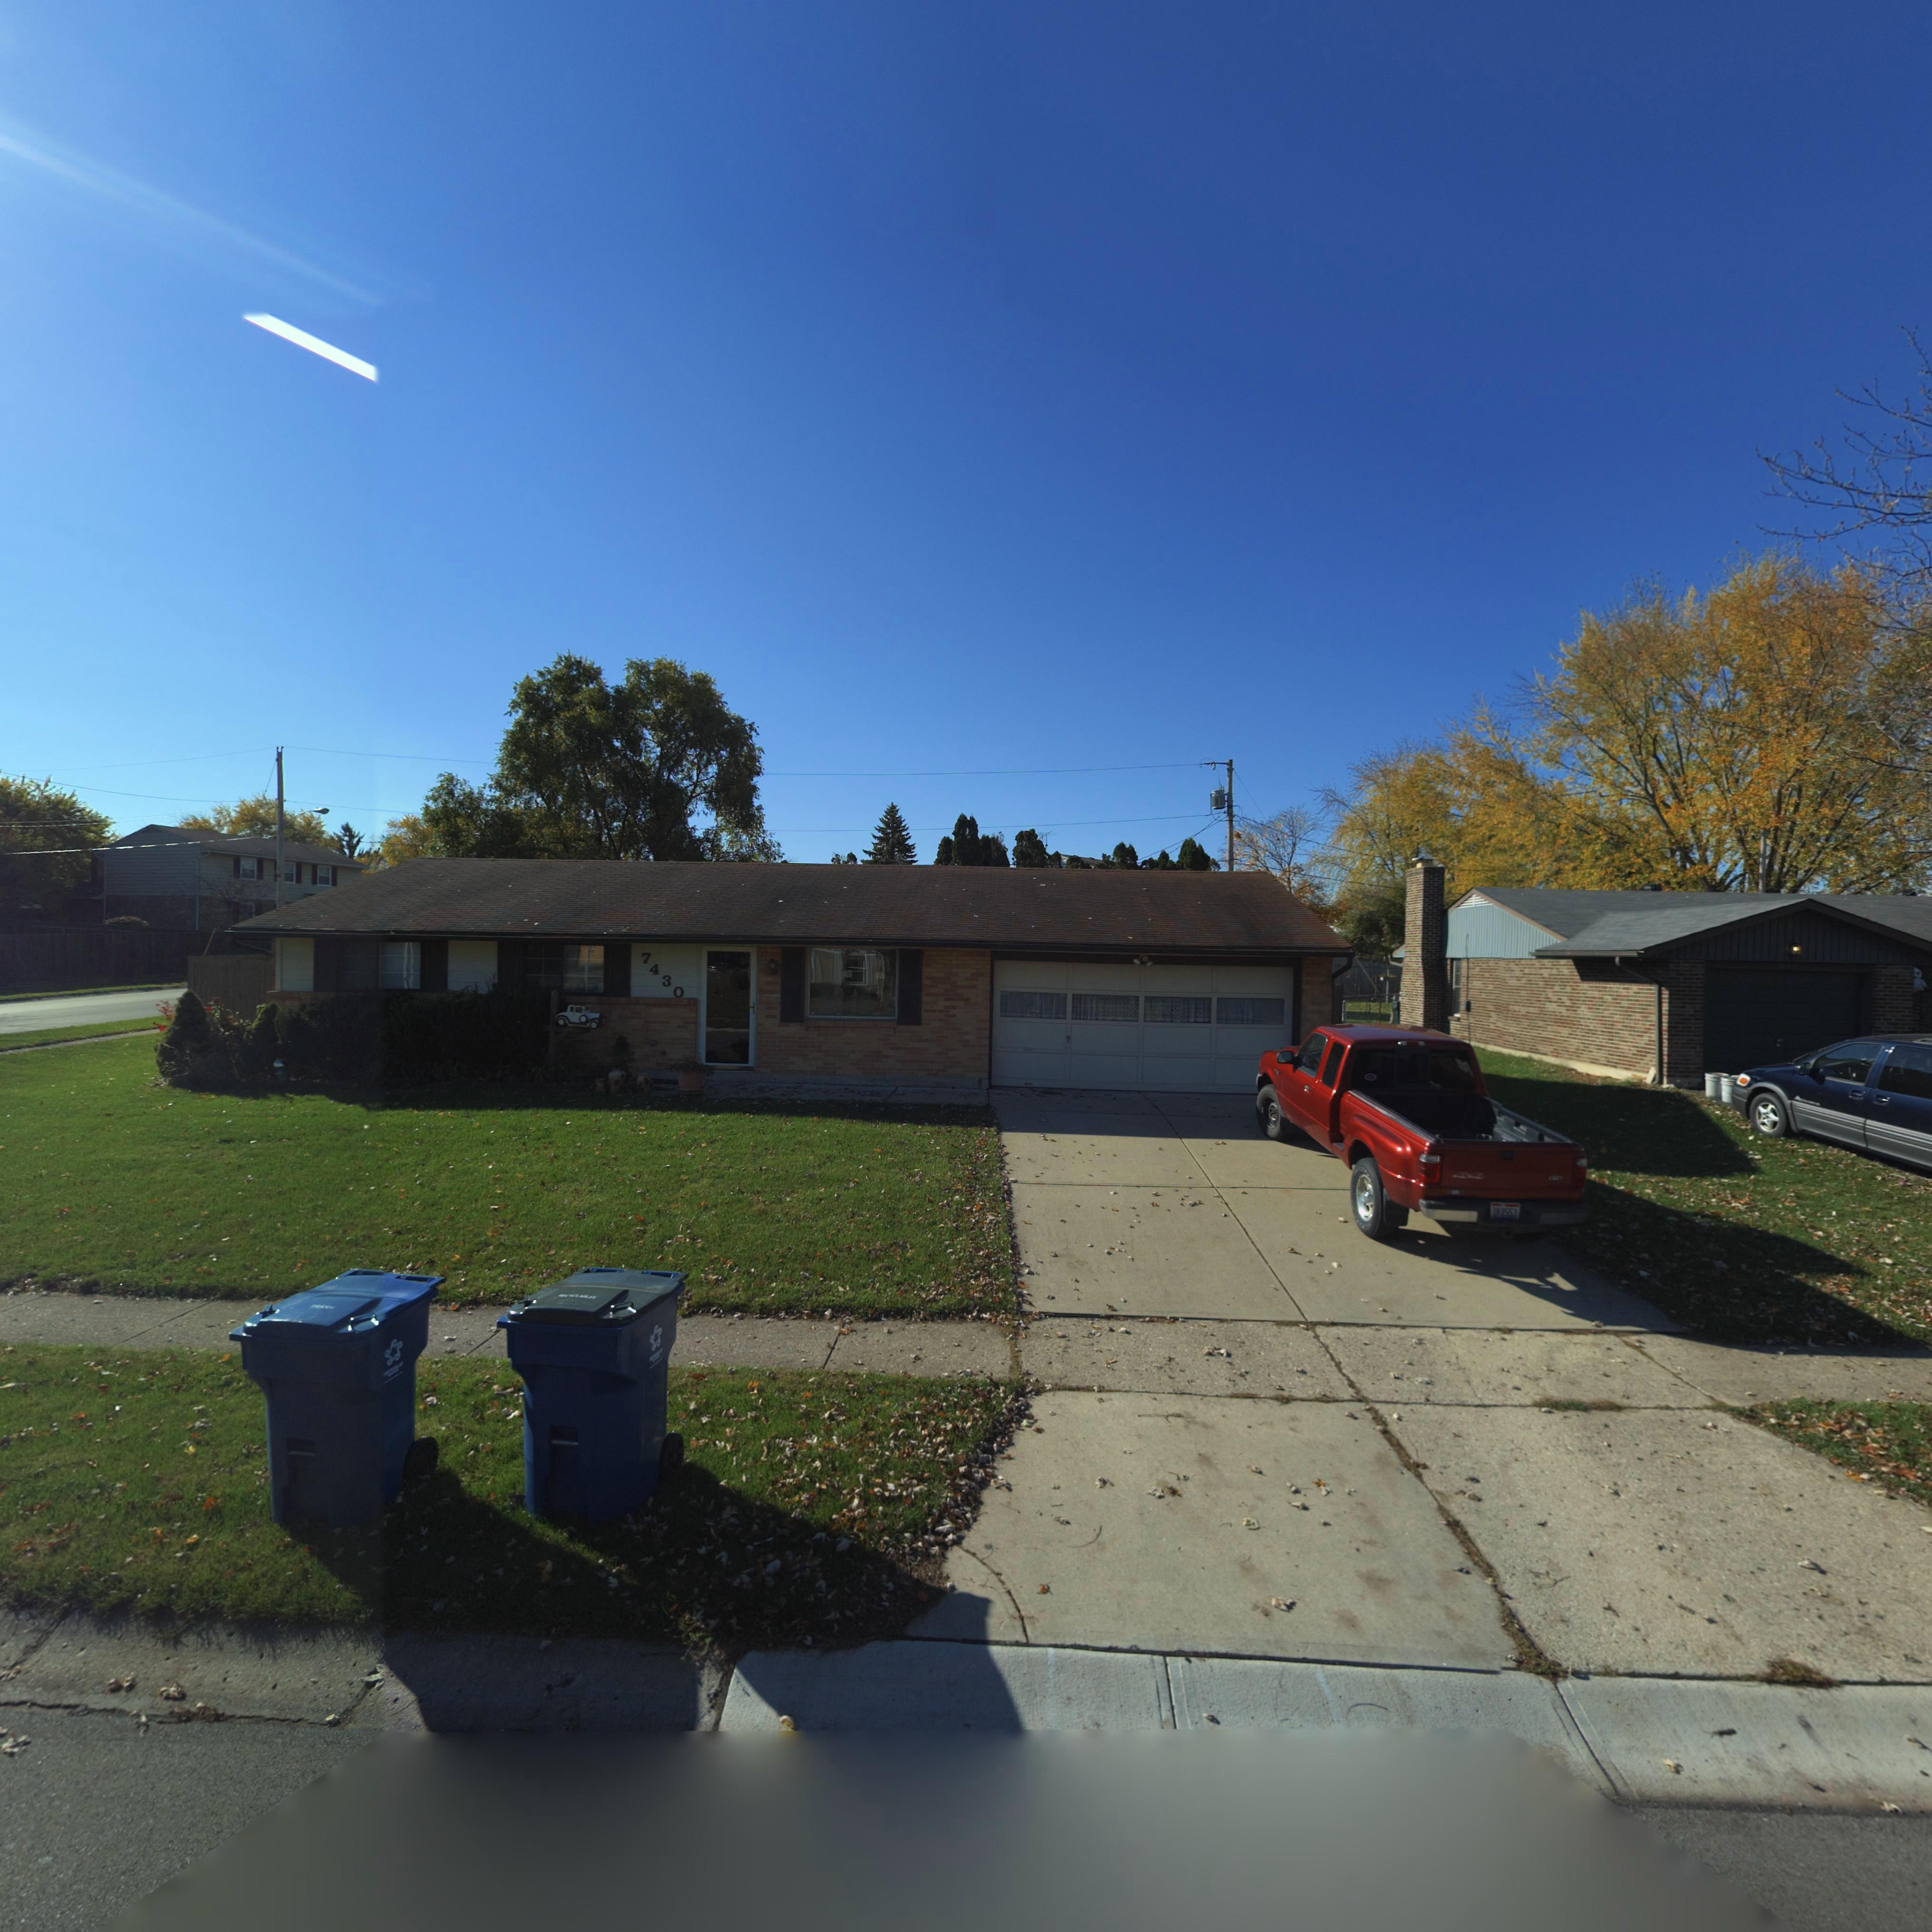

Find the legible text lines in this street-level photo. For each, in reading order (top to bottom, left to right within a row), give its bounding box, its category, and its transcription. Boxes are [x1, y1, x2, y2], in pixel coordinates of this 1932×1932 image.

[641, 952, 686, 999] StreetNumber: 7430